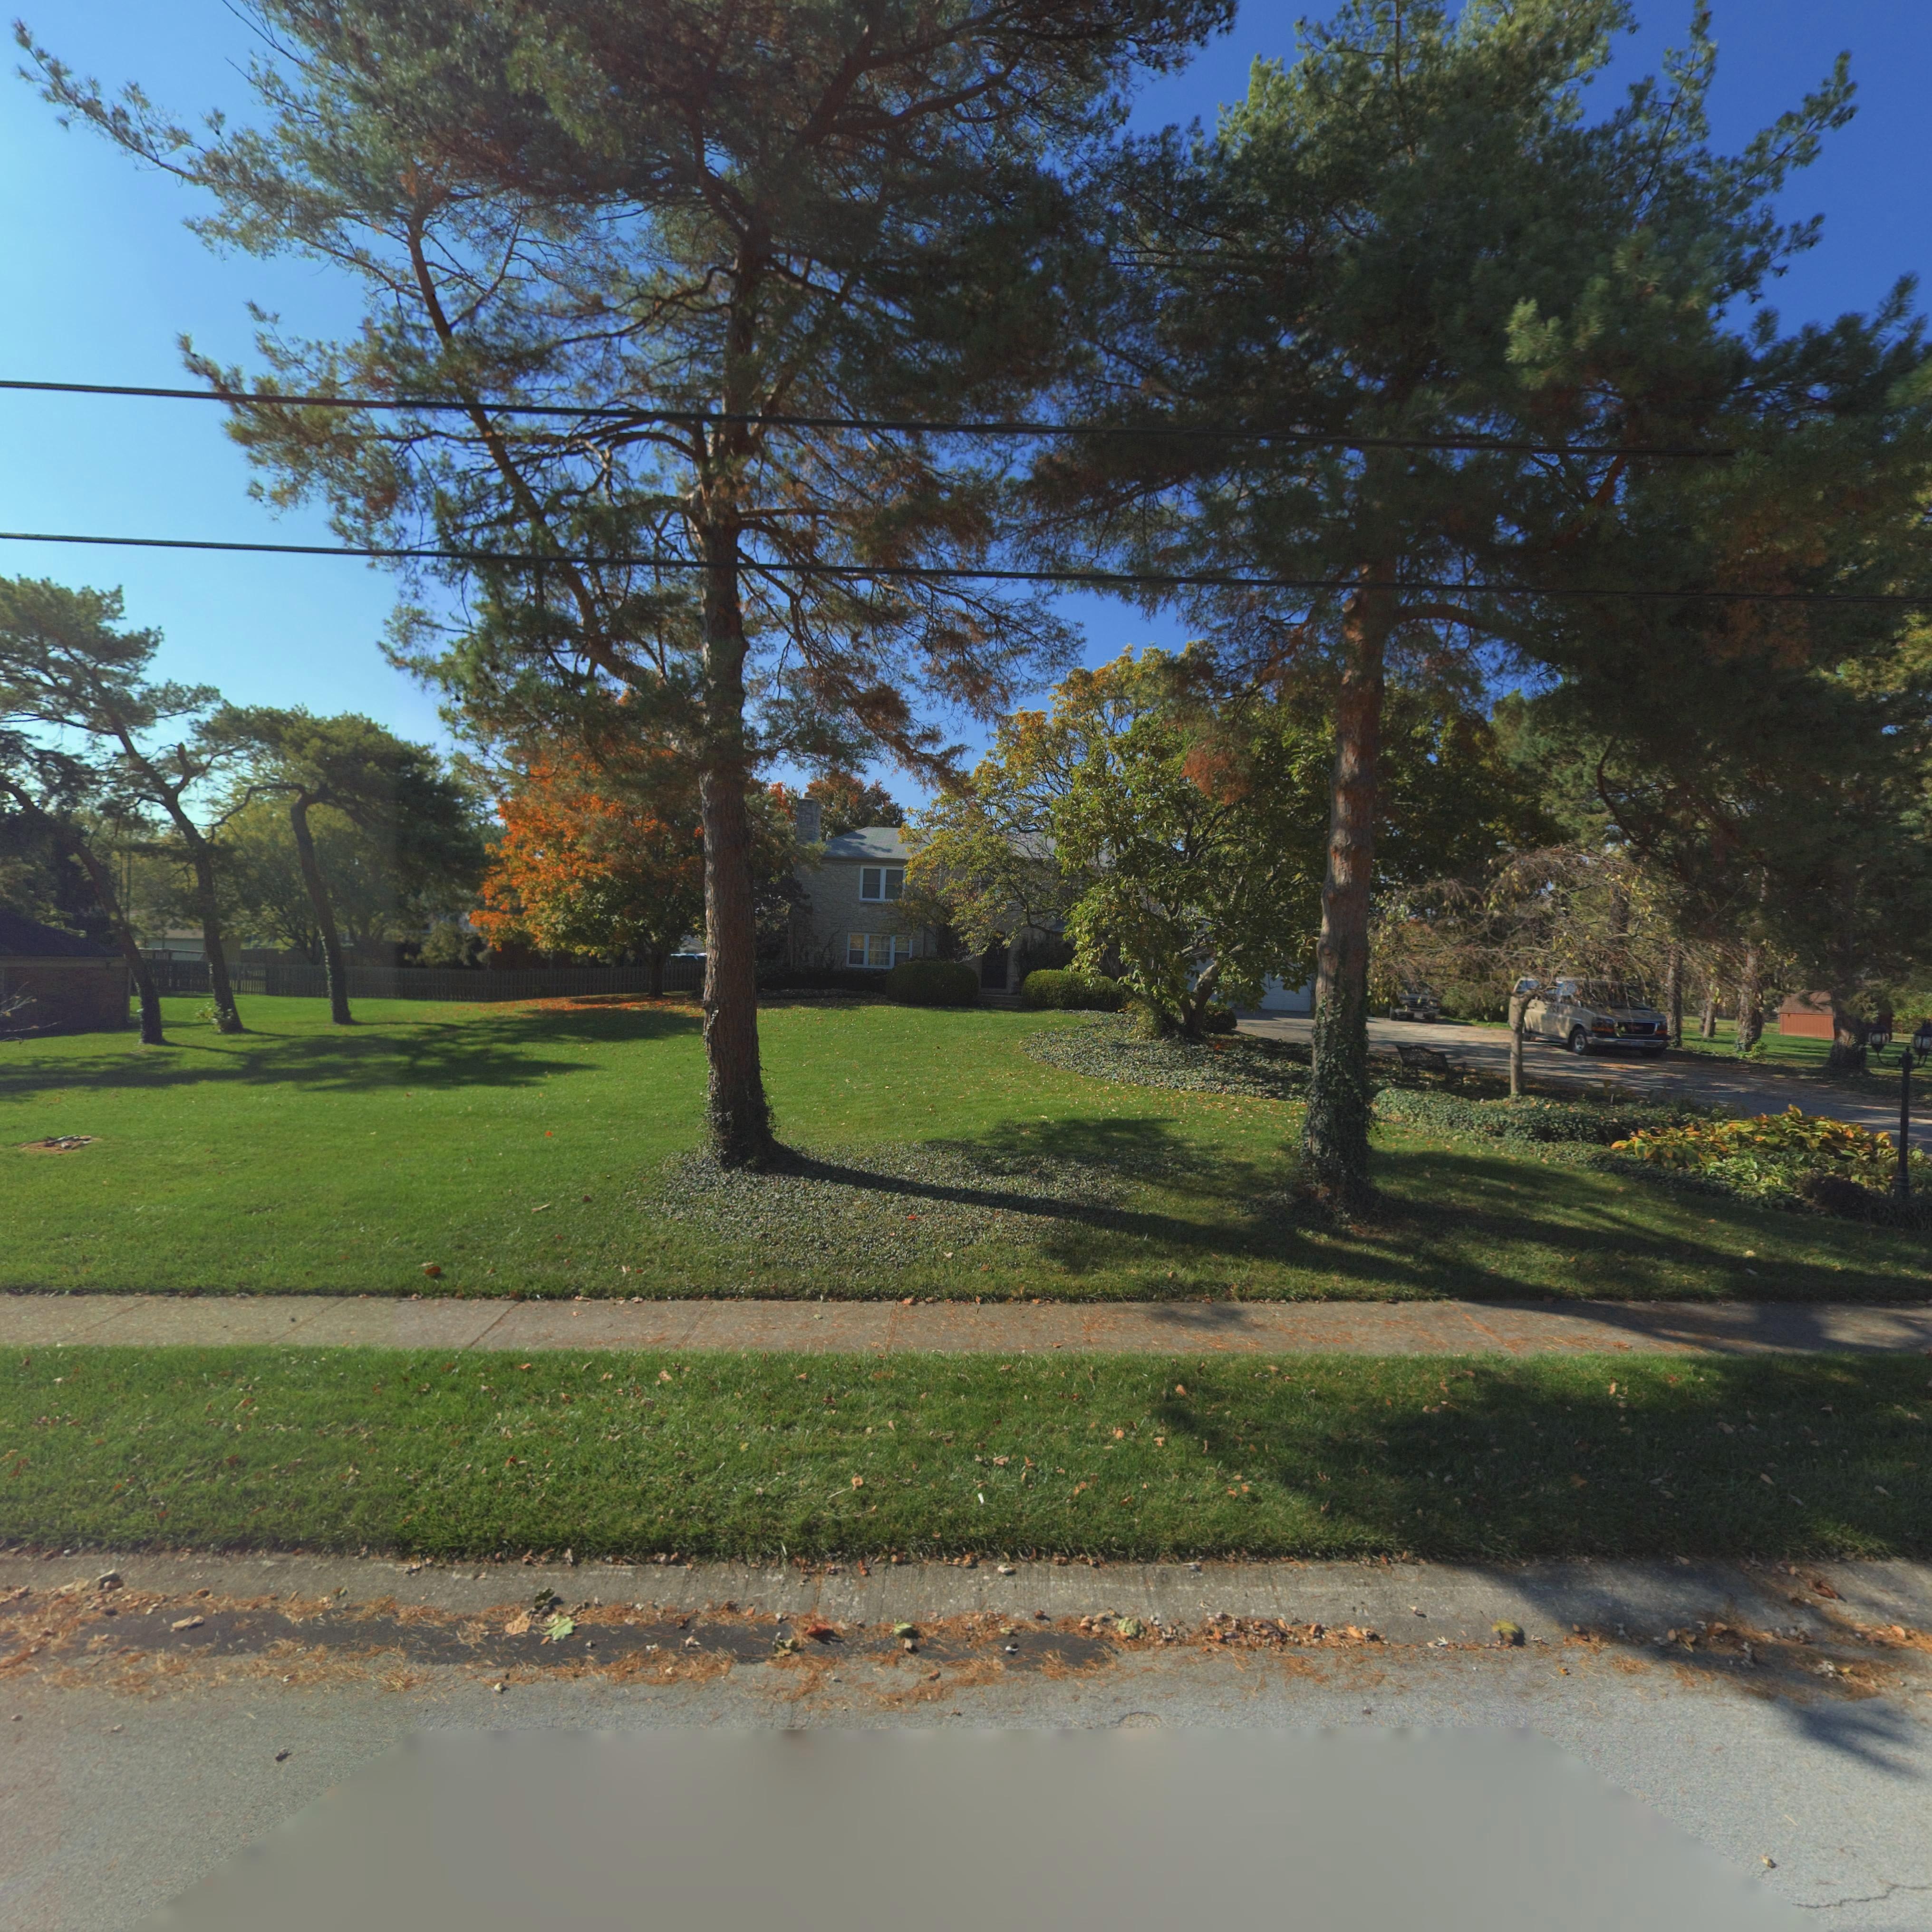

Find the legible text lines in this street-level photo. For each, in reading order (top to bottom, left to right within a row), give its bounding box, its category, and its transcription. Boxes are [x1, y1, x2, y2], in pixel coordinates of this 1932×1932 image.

[1629, 1025, 1643, 1030] None: GMC